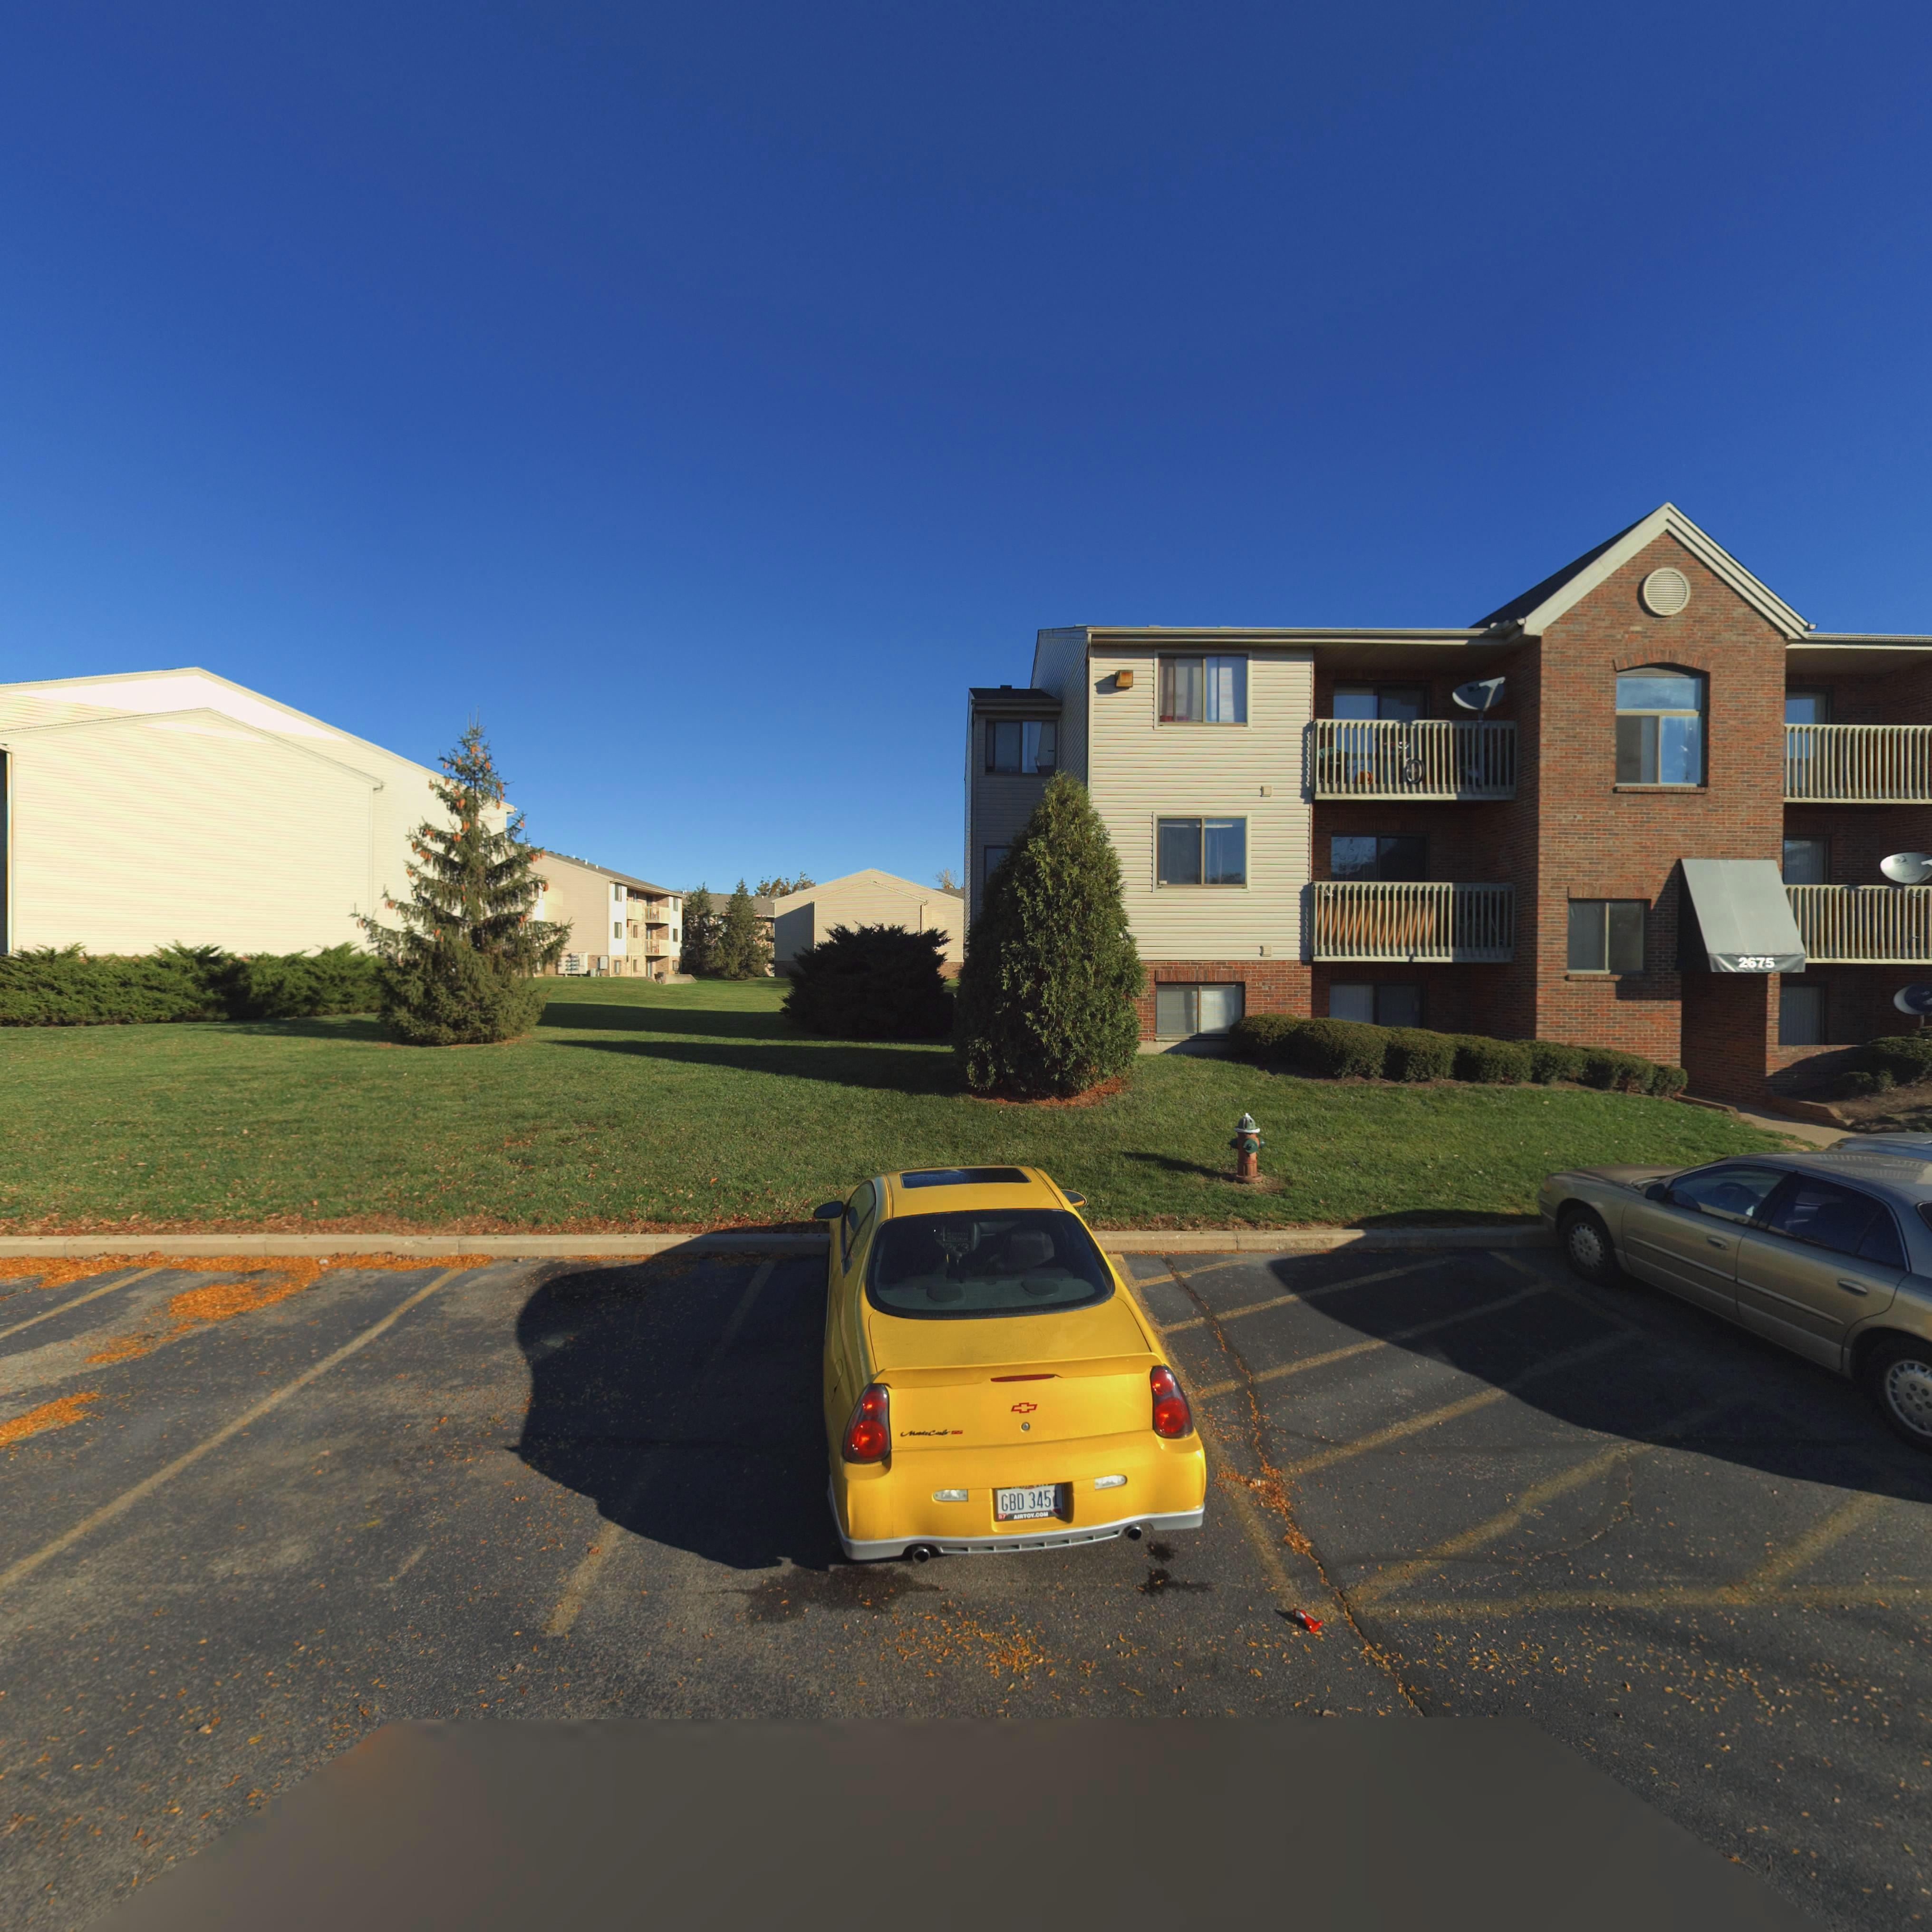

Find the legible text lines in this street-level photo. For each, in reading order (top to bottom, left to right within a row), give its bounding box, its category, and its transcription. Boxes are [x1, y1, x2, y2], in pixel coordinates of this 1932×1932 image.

[1737, 956, 1776, 969] StreetNumber: 2675